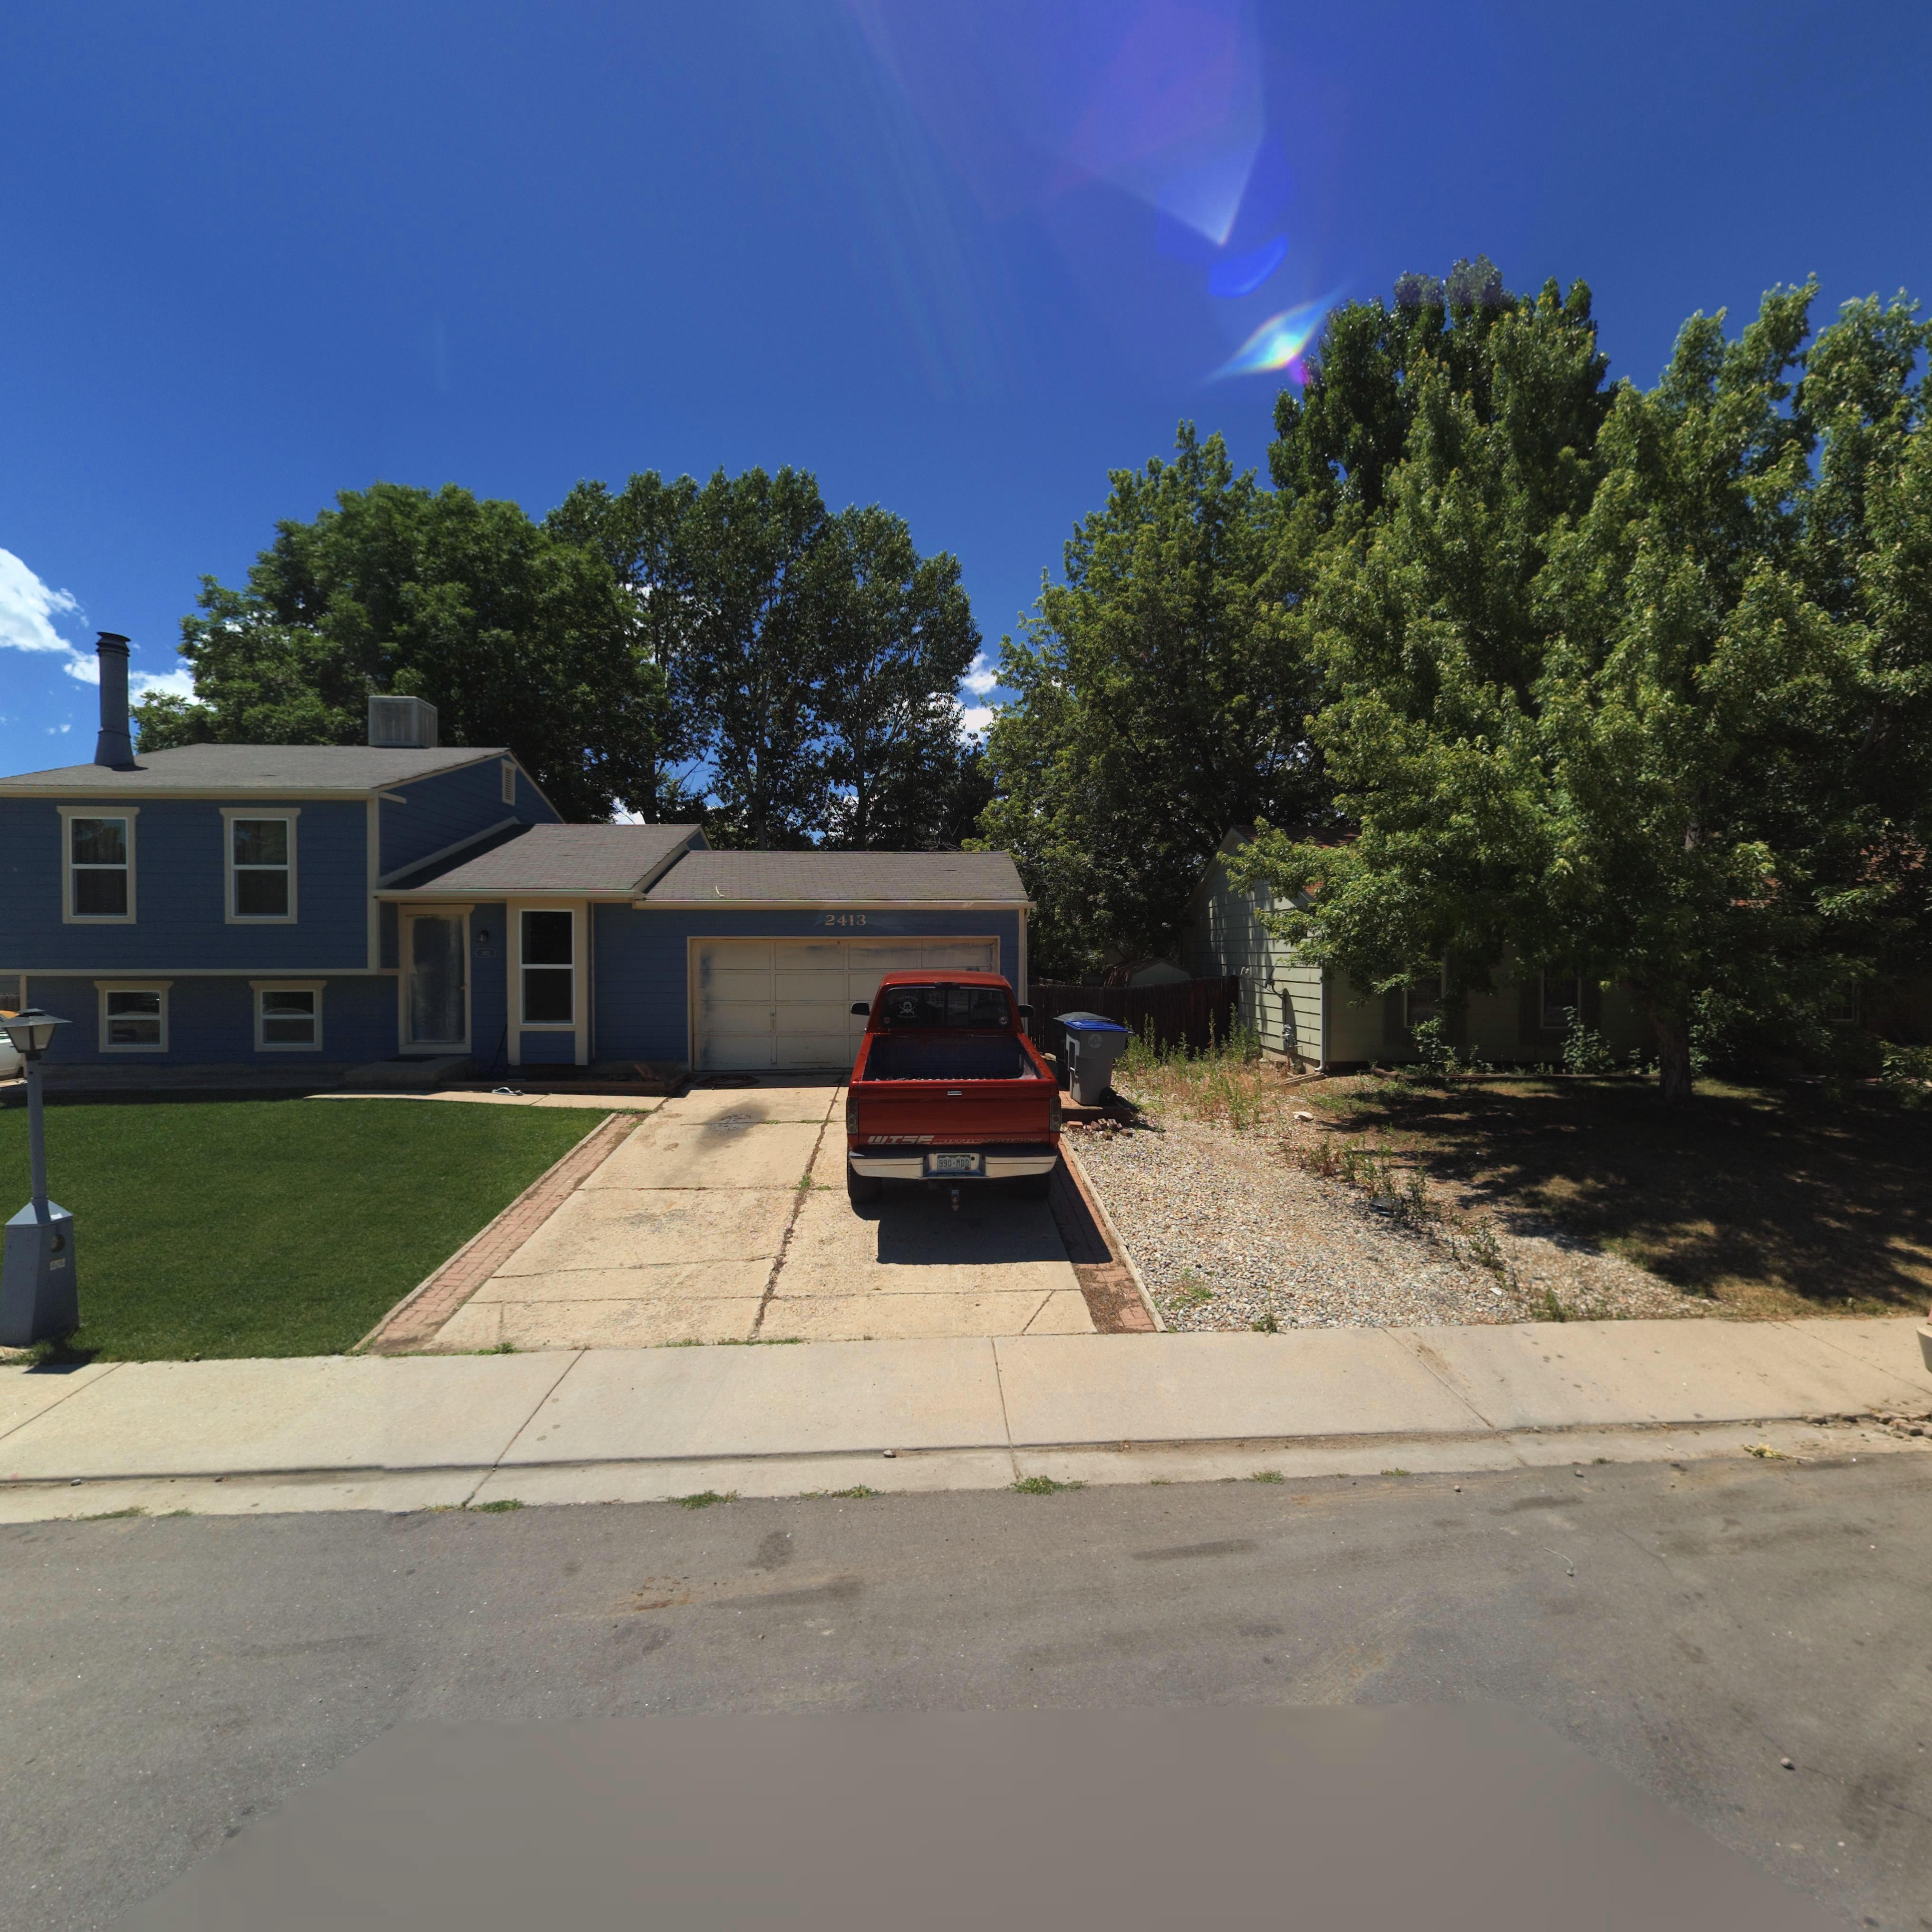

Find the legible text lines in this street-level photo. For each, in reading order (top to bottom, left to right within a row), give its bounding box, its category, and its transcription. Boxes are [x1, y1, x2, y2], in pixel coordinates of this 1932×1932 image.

[824, 913, 866, 926] StreetNumber: 2413
[481, 950, 492, 956] StreetNumber: 2***